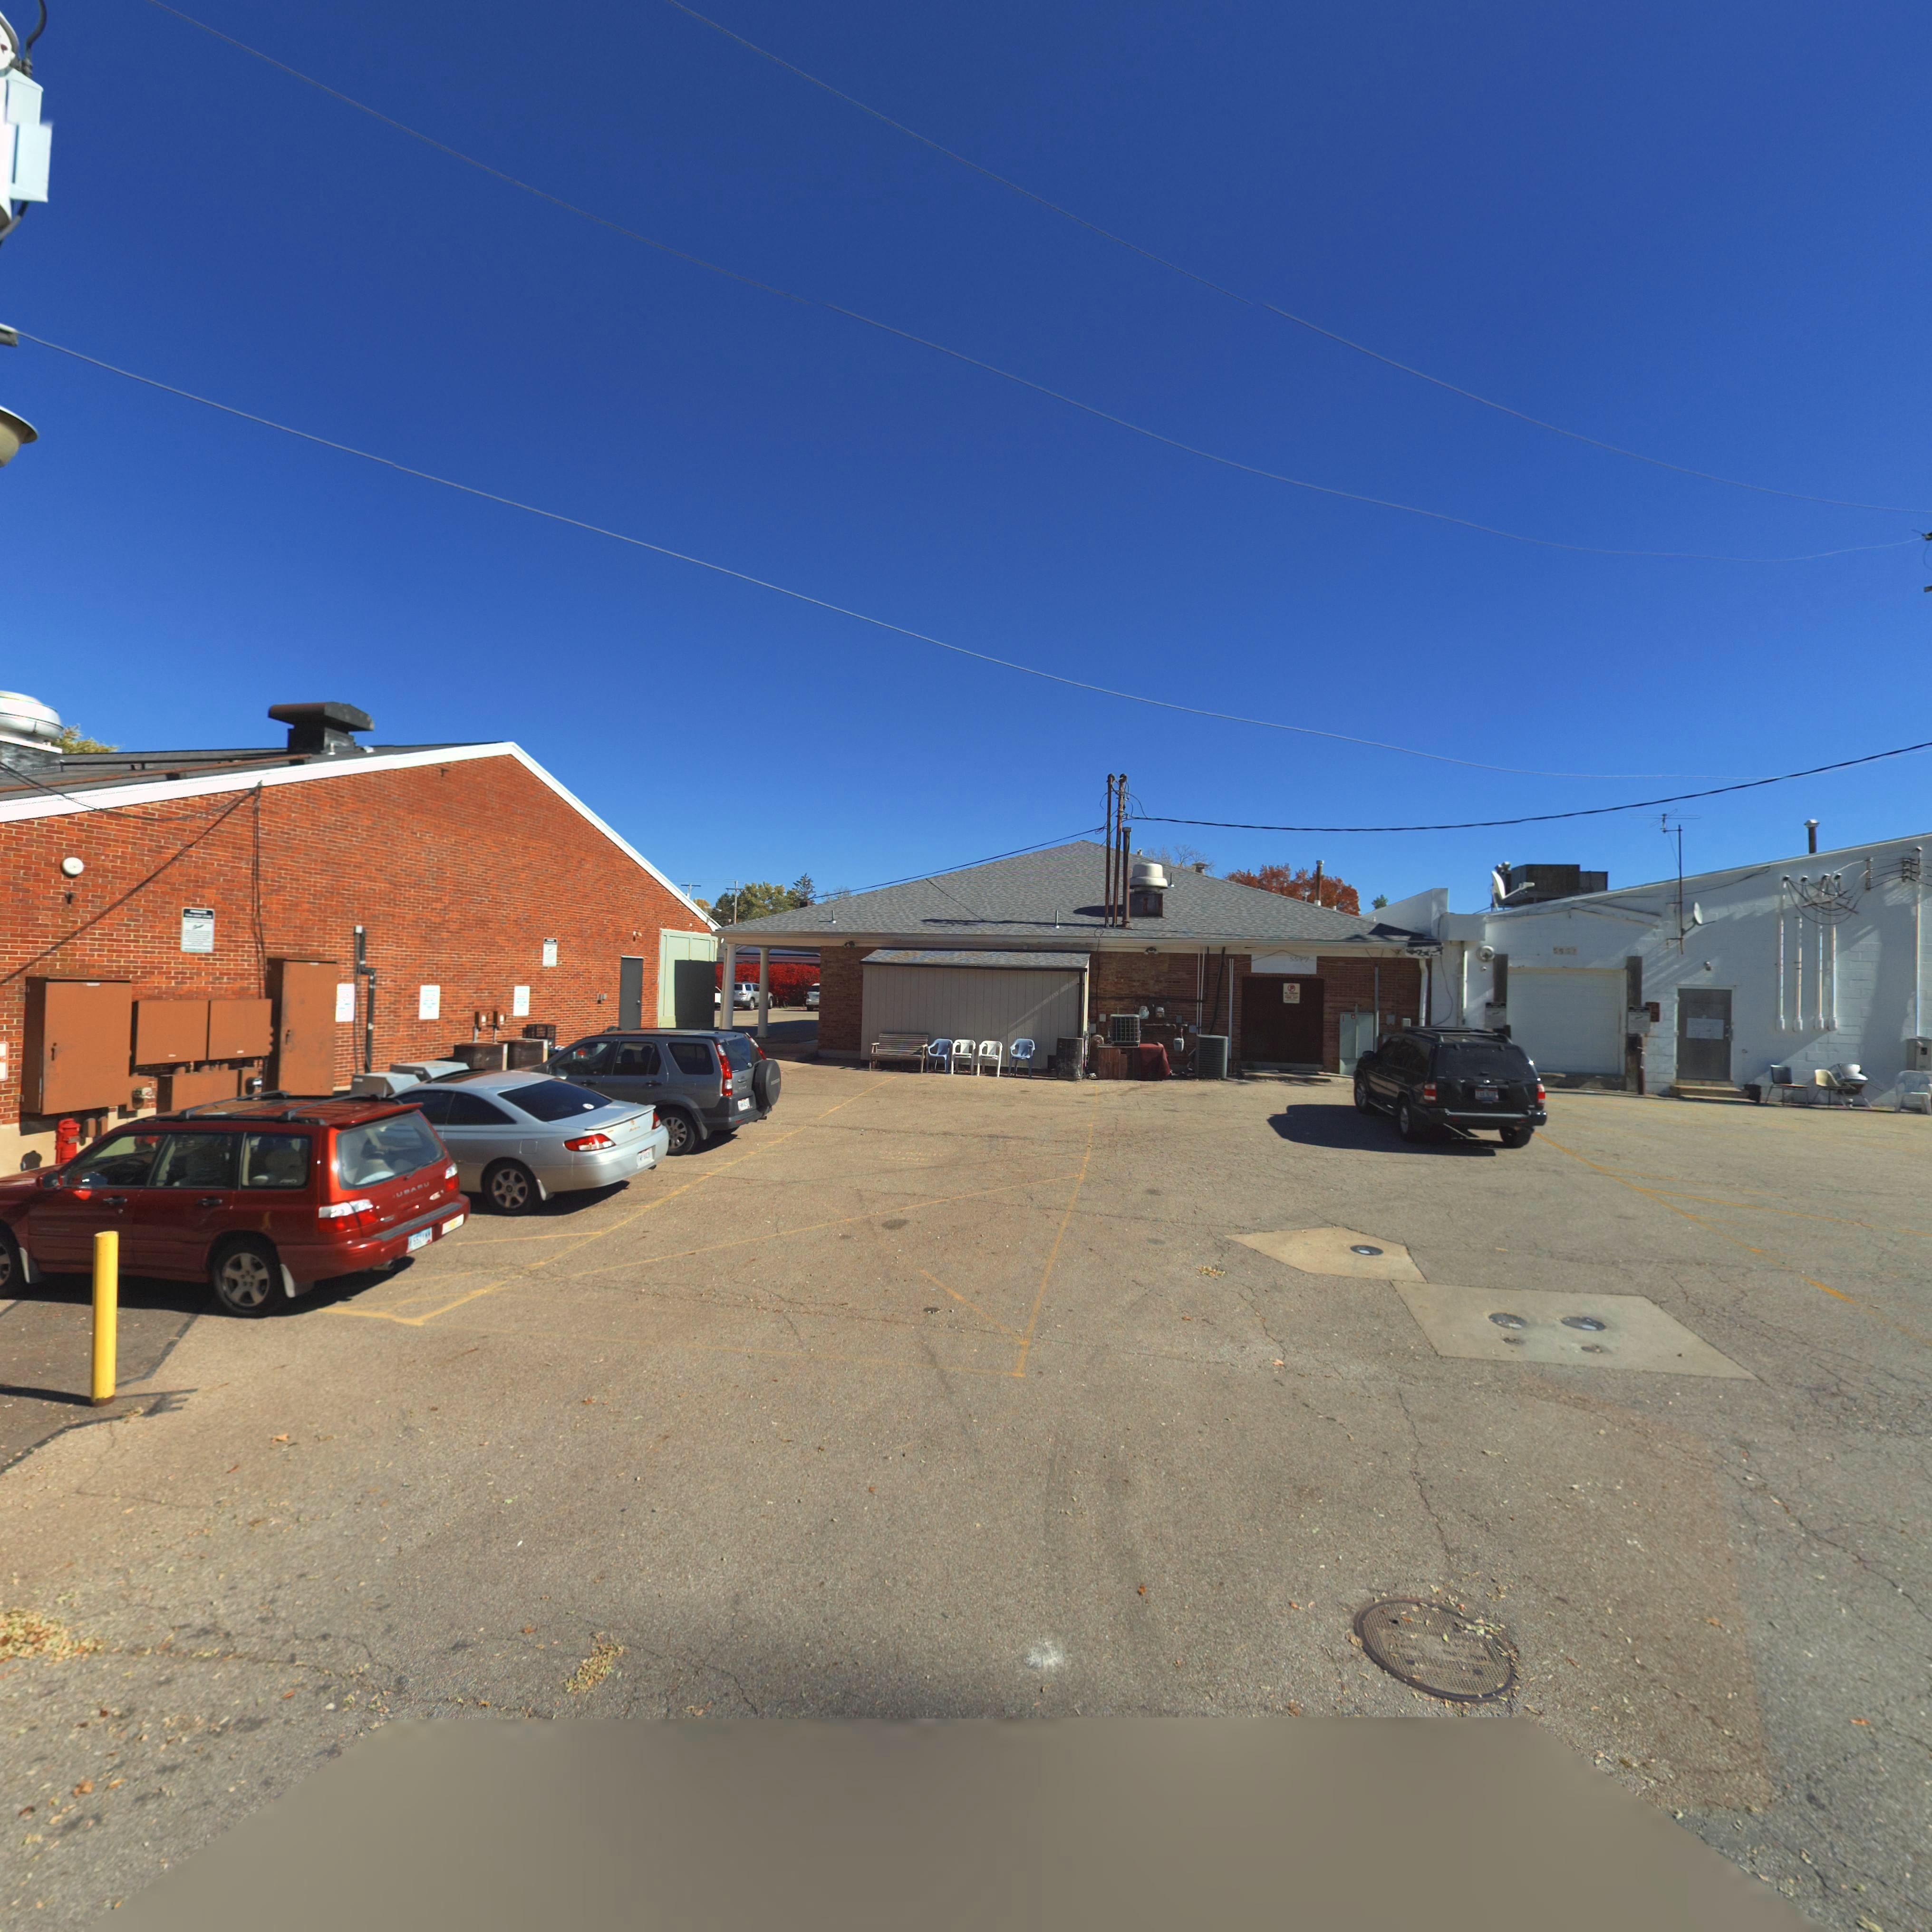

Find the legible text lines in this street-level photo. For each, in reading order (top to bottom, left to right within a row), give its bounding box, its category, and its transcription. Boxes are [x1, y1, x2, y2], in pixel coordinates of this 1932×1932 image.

[1552, 947, 1565, 956] StreetNumber: 55
[1288, 956, 1310, 964] StreetNumber: 55*7